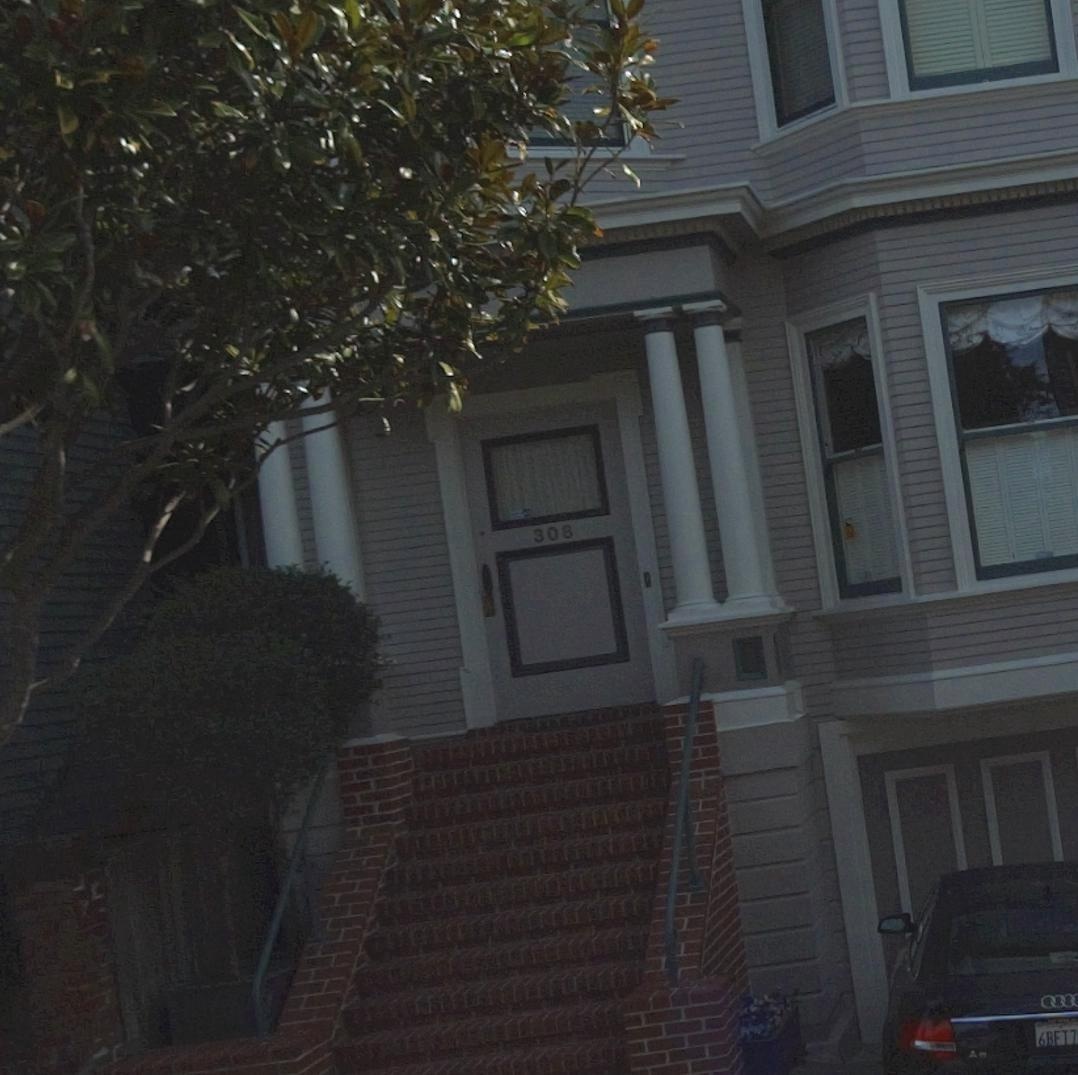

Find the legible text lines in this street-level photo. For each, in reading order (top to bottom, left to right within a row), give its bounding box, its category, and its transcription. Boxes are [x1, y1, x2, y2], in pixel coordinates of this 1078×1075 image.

[530, 521, 576, 545] StreetNumber: 308
[1035, 1027, 1078, 1050] None: 6BFT7
[964, 1046, 981, 1062] None: A